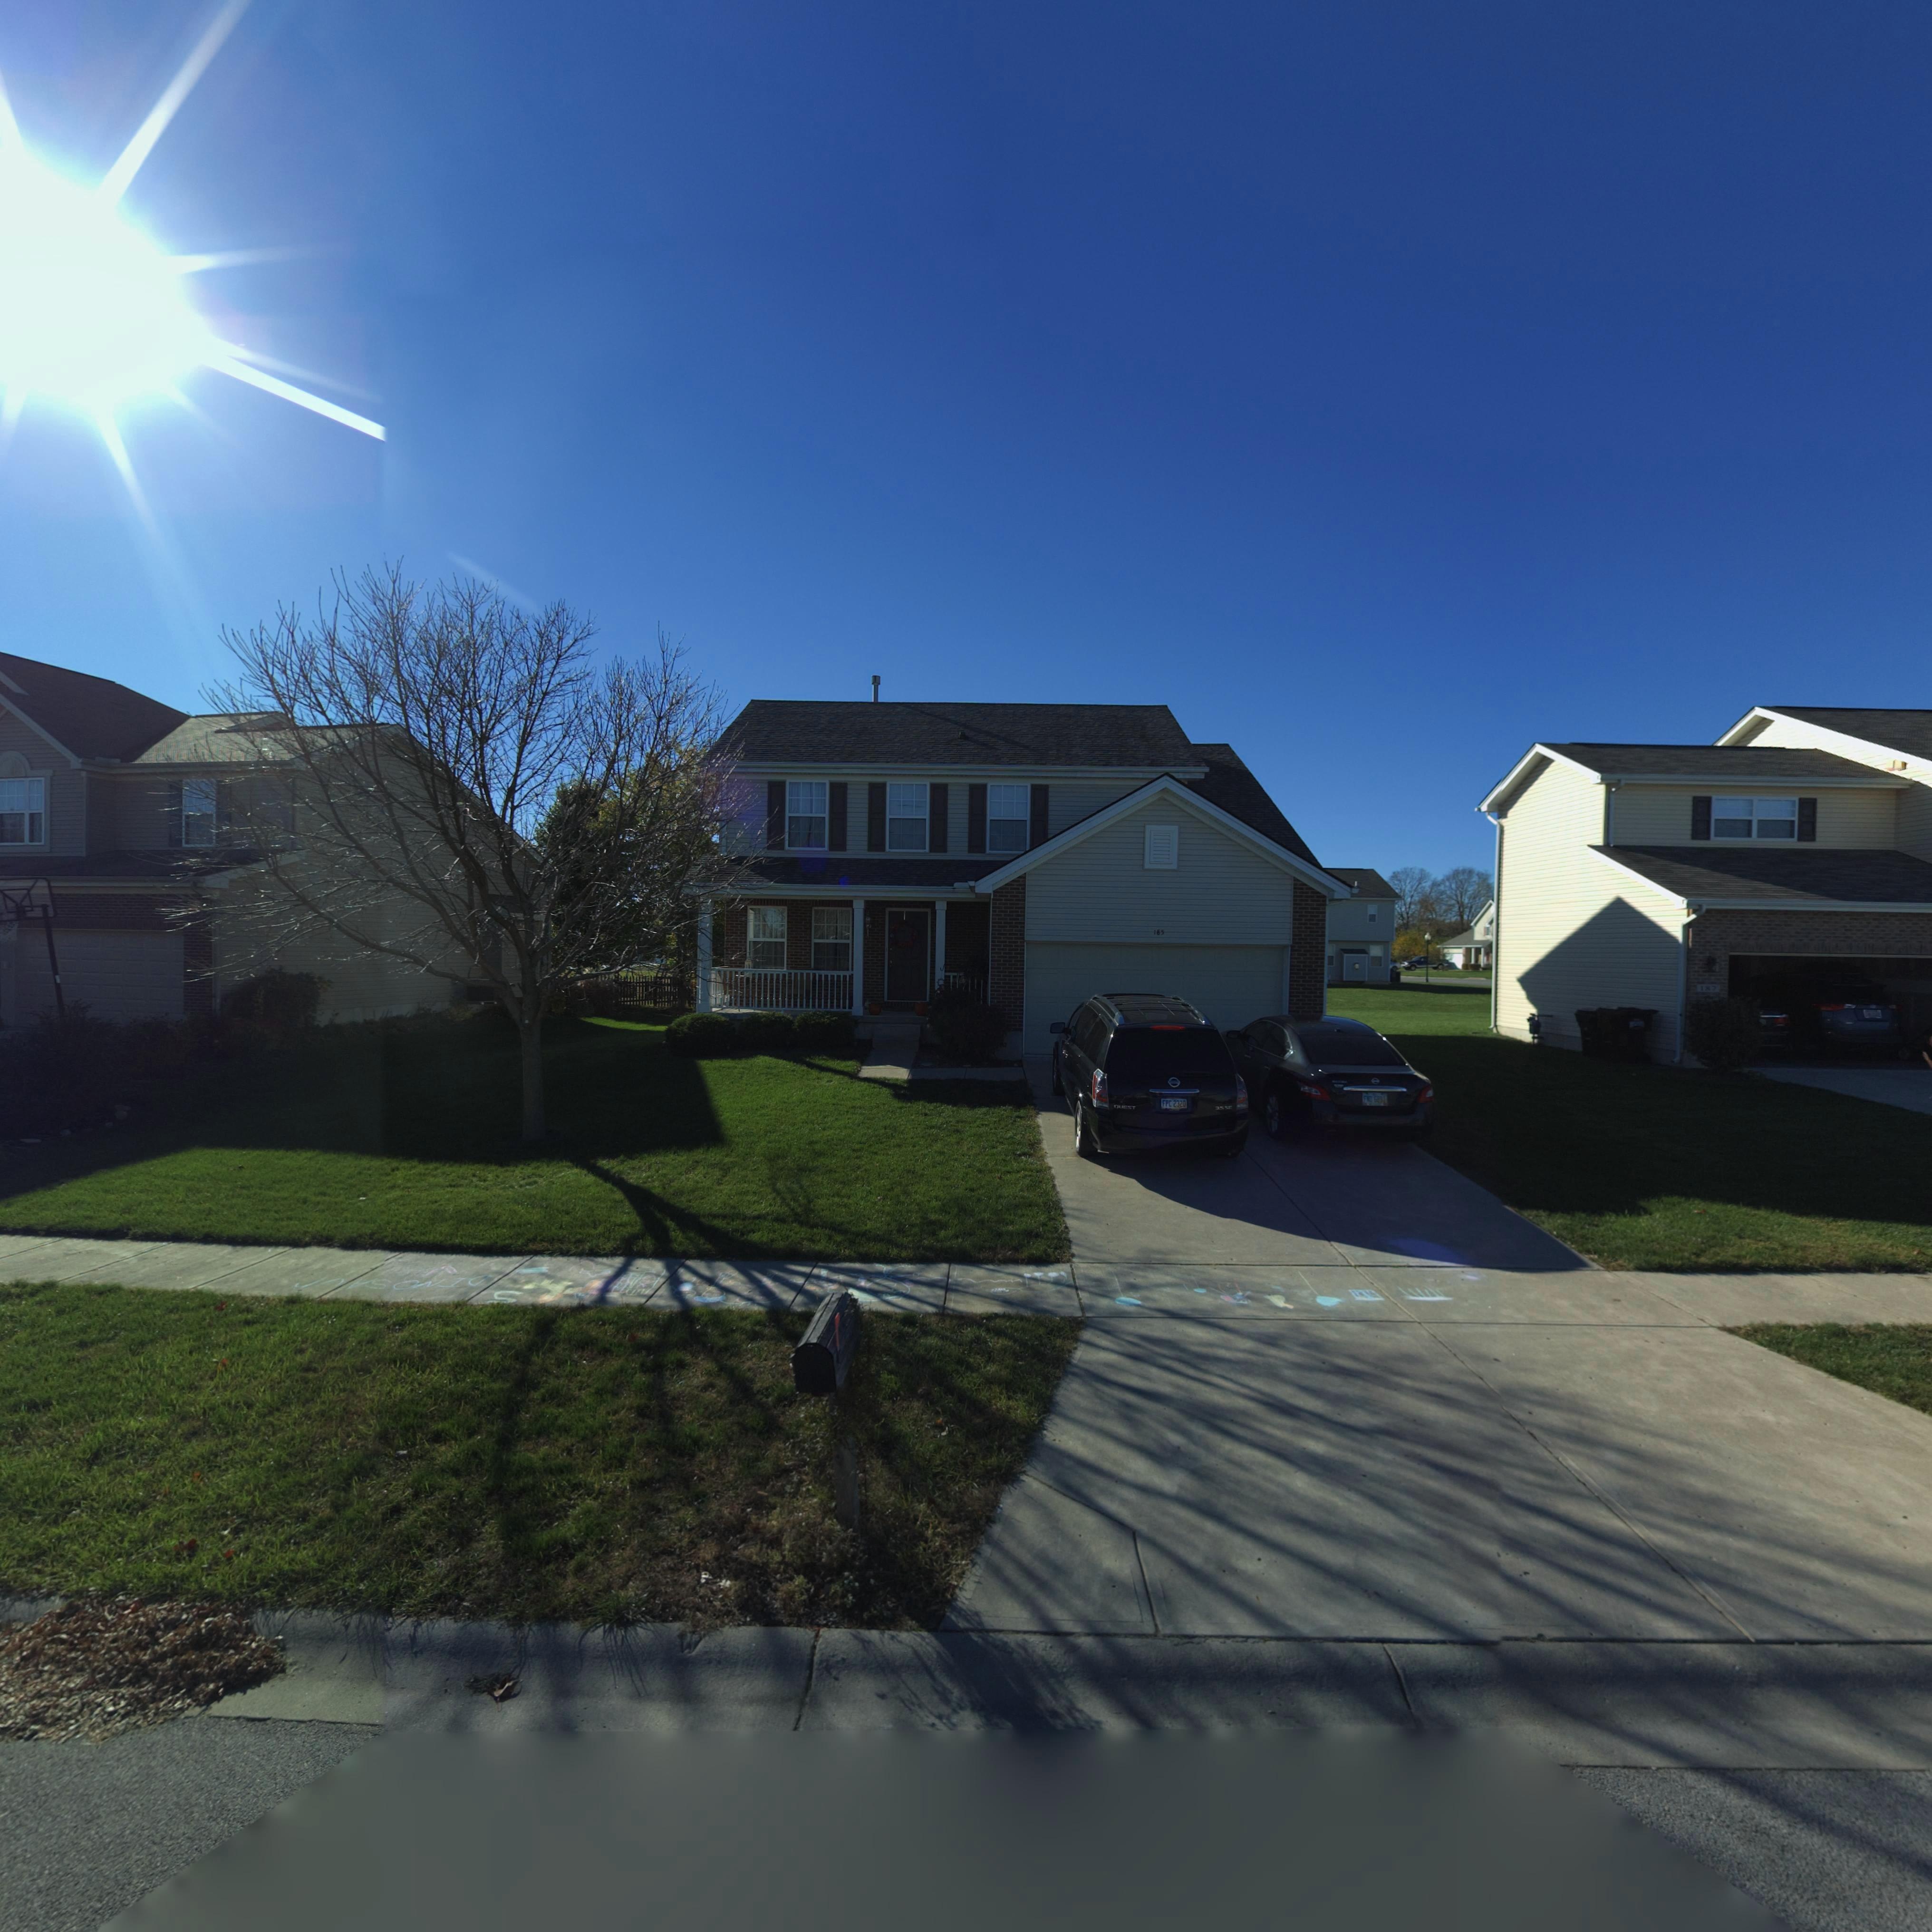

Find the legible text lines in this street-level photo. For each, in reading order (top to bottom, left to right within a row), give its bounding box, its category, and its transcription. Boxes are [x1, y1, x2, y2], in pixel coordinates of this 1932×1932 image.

[1153, 928, 1165, 936] StreetNumber: 185
[1699, 985, 1717, 991] StreetNumber: 187